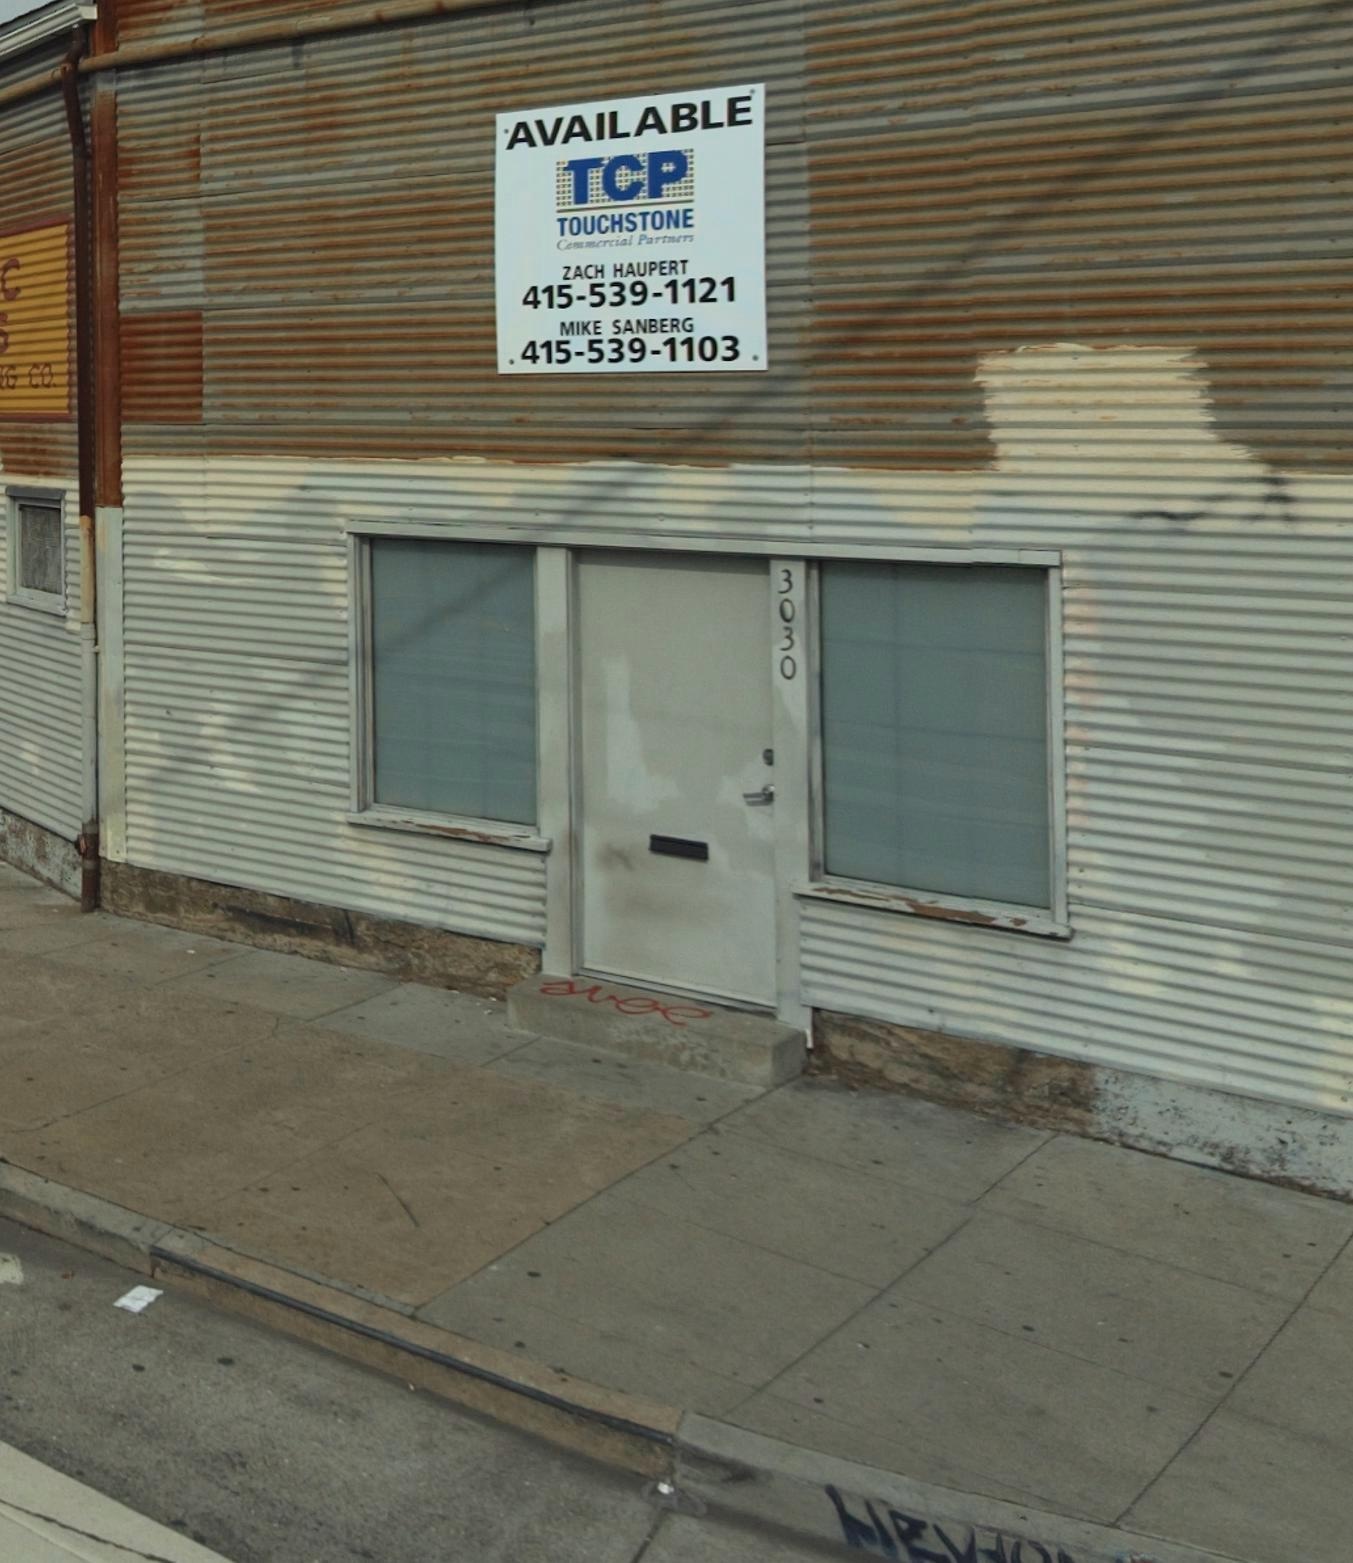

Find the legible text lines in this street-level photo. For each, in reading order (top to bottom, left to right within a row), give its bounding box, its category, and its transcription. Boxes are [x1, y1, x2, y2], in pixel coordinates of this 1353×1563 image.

[503, 93, 755, 151] None: AVAILABLE
[560, 148, 691, 206] None: TCP
[554, 207, 695, 238] None: TOUCHSTONE
[555, 233, 697, 252] None: Commercial Partners
[561, 258, 691, 281] None: ZACH HAUPERT
[520, 275, 737, 310] None: 415-539-1121
[558, 316, 696, 336] None: MIKE SANBERG
[517, 334, 742, 366] None: 415-539-1103
[778, 566, 799, 681] StreetNumber: 3030